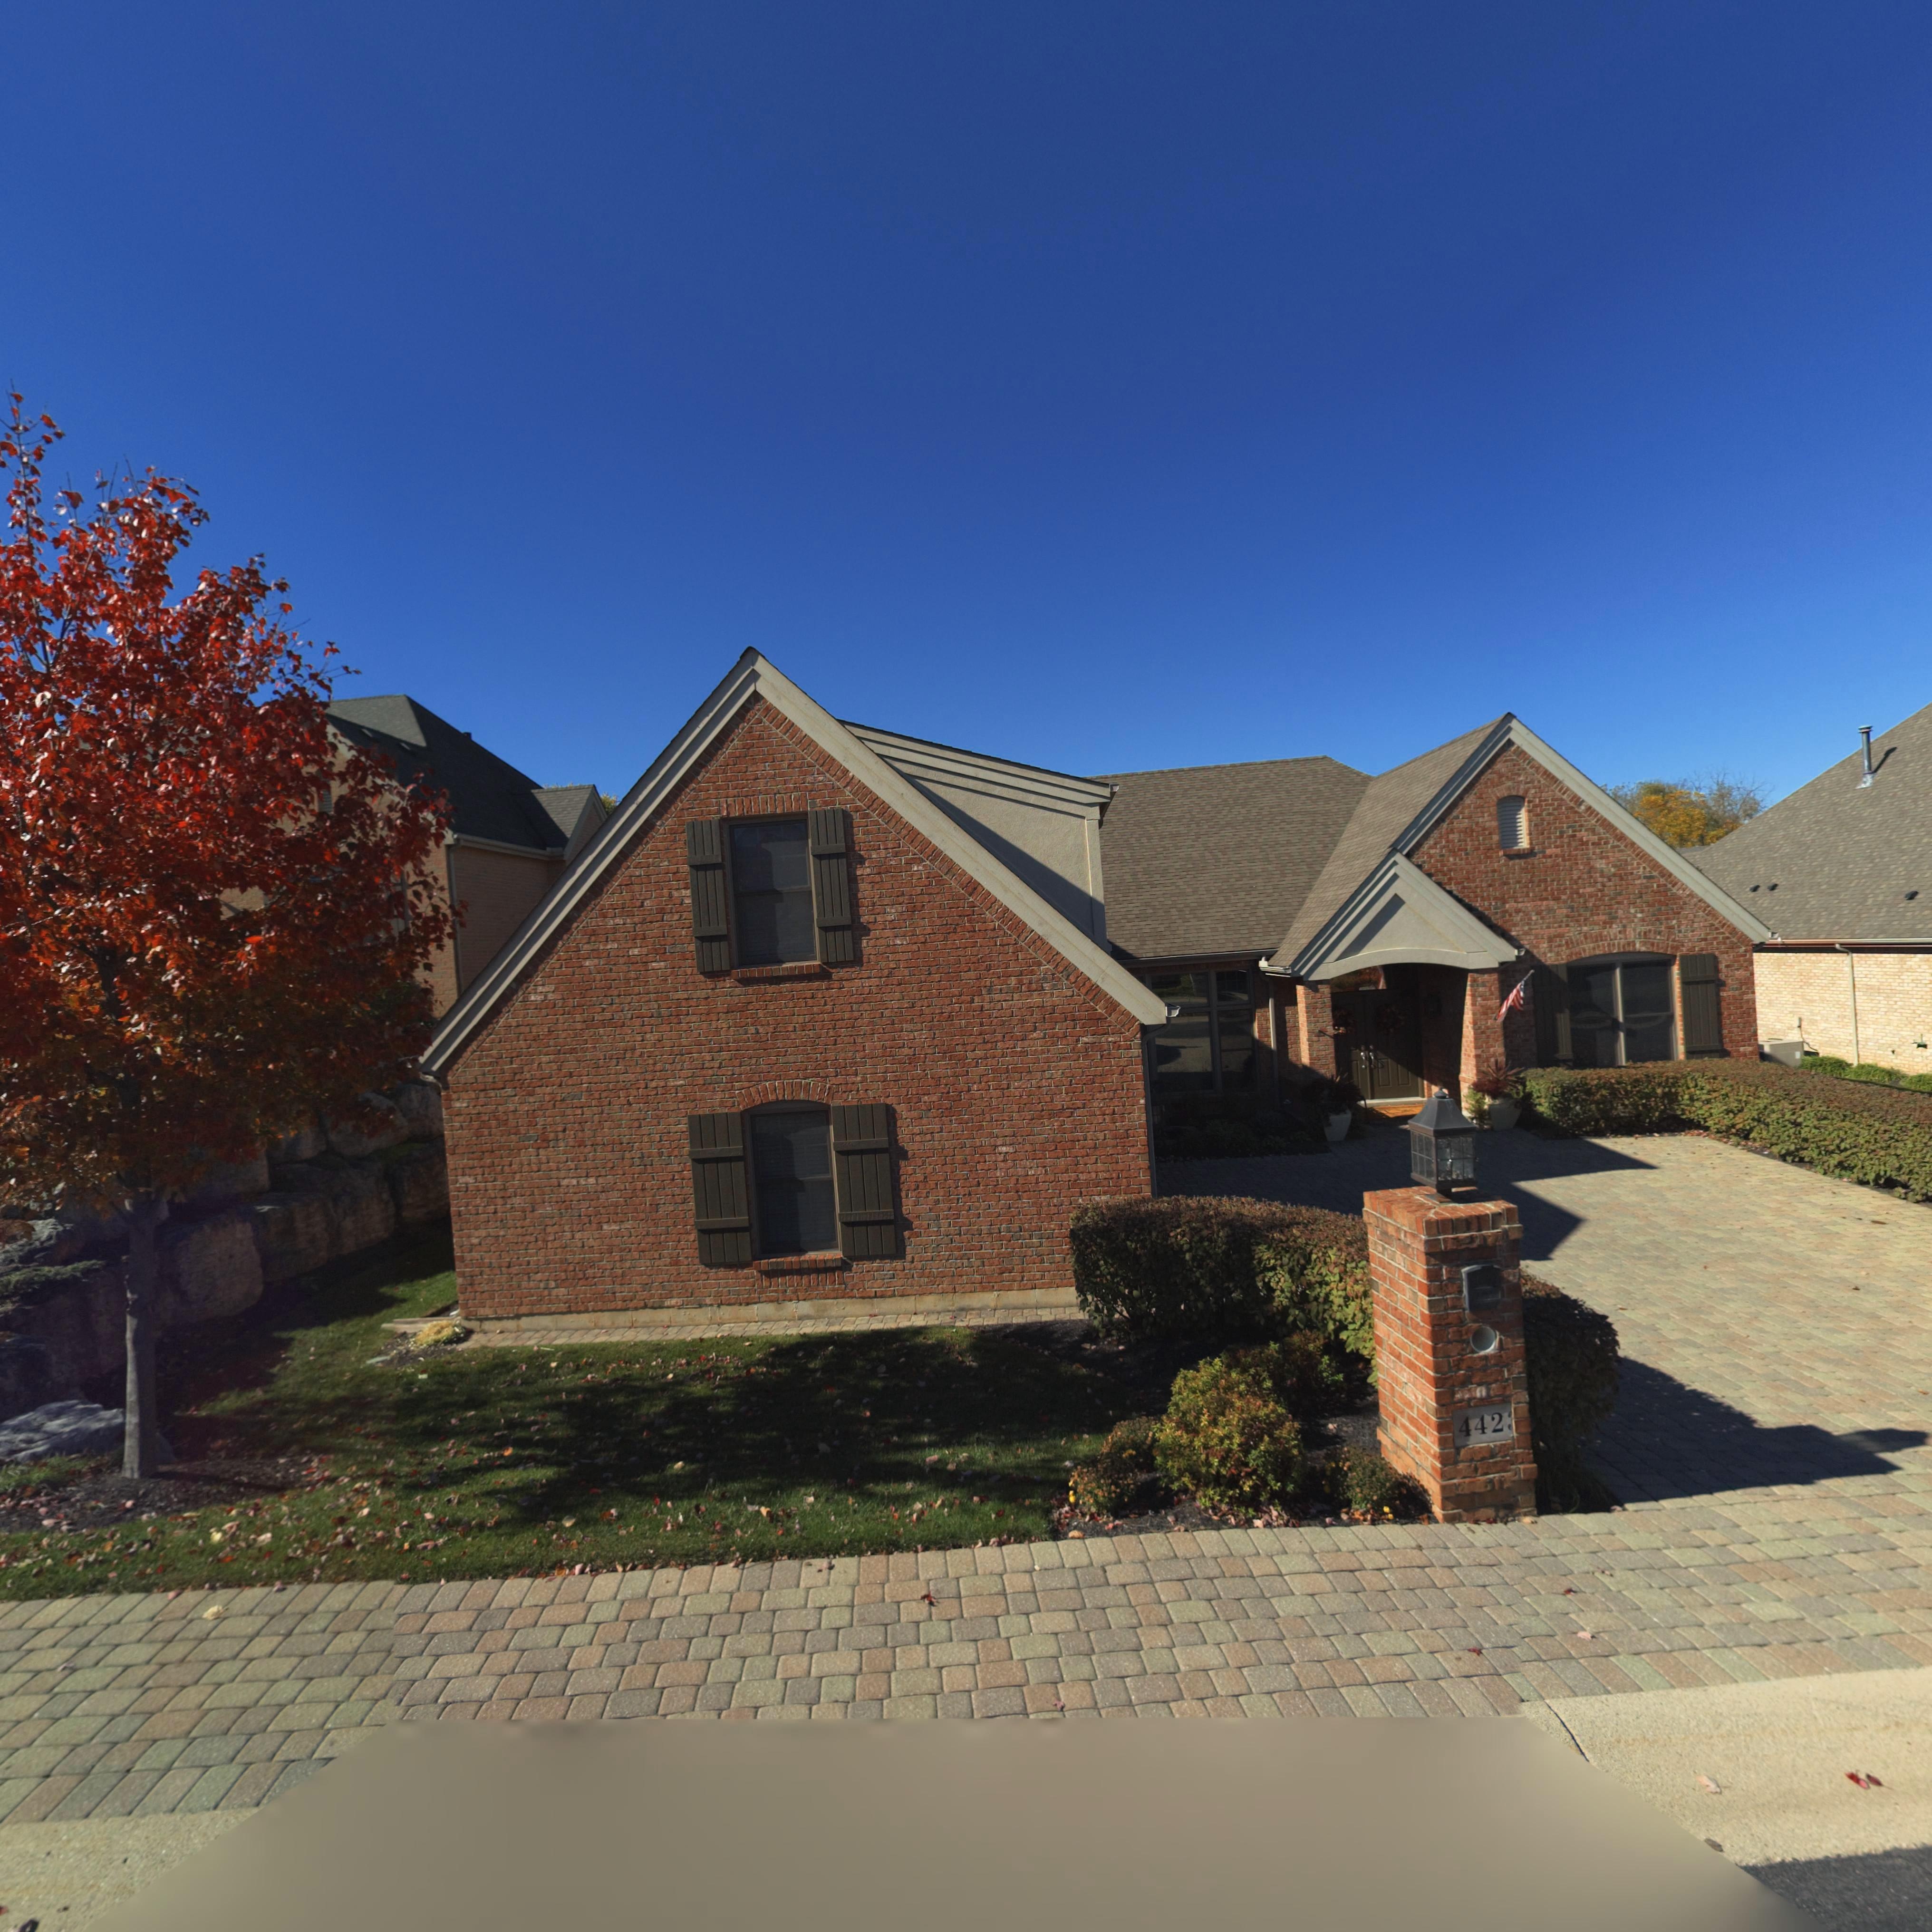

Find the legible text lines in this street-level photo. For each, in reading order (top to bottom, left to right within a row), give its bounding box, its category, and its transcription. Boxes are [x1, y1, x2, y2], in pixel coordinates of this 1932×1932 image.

[1457, 1410, 1506, 1439] StreetNumber: 442